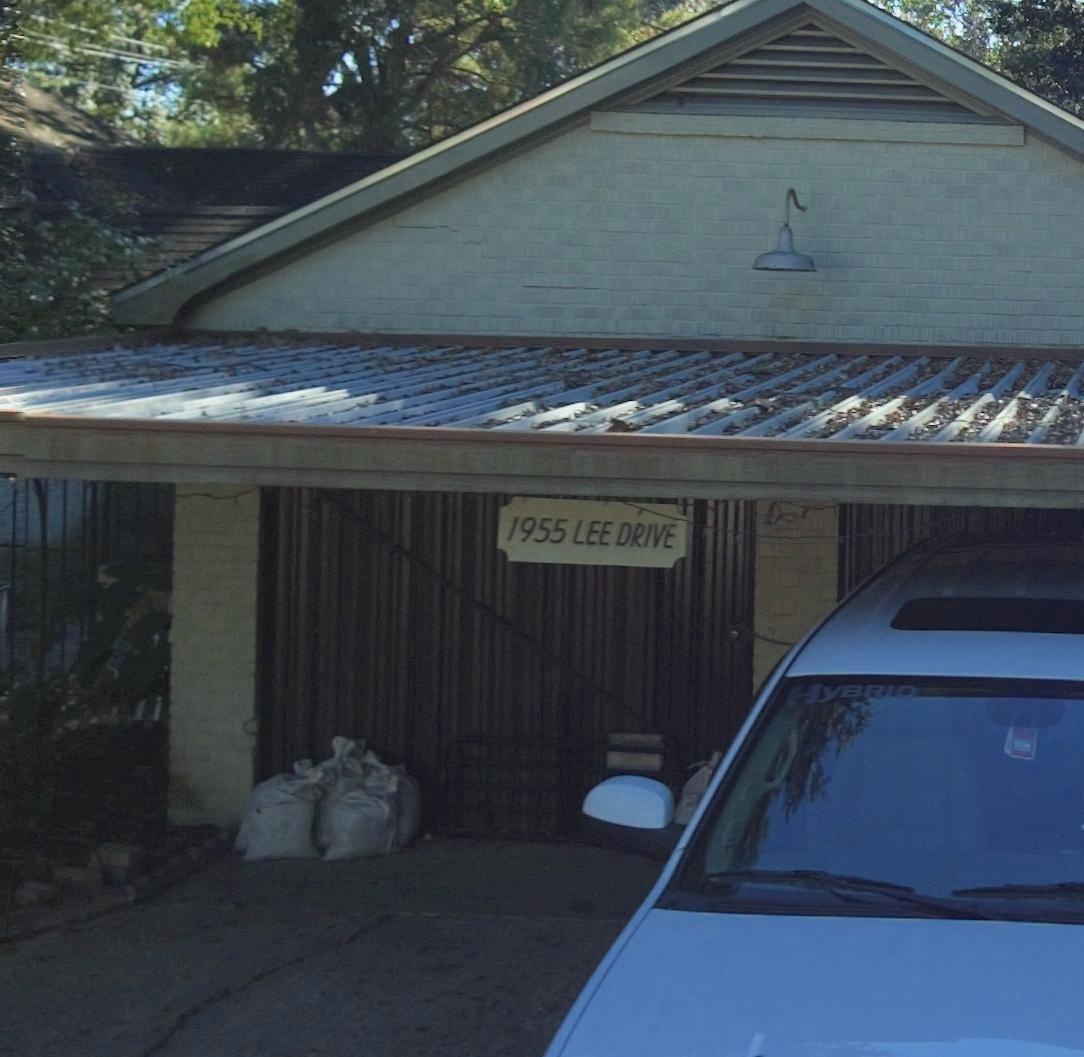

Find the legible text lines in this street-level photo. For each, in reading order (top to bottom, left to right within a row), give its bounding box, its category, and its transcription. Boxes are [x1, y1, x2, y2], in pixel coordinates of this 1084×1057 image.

[503, 513, 573, 547] StreetNumber: 1955
[569, 515, 680, 552] StreetName: LEE DRIVE